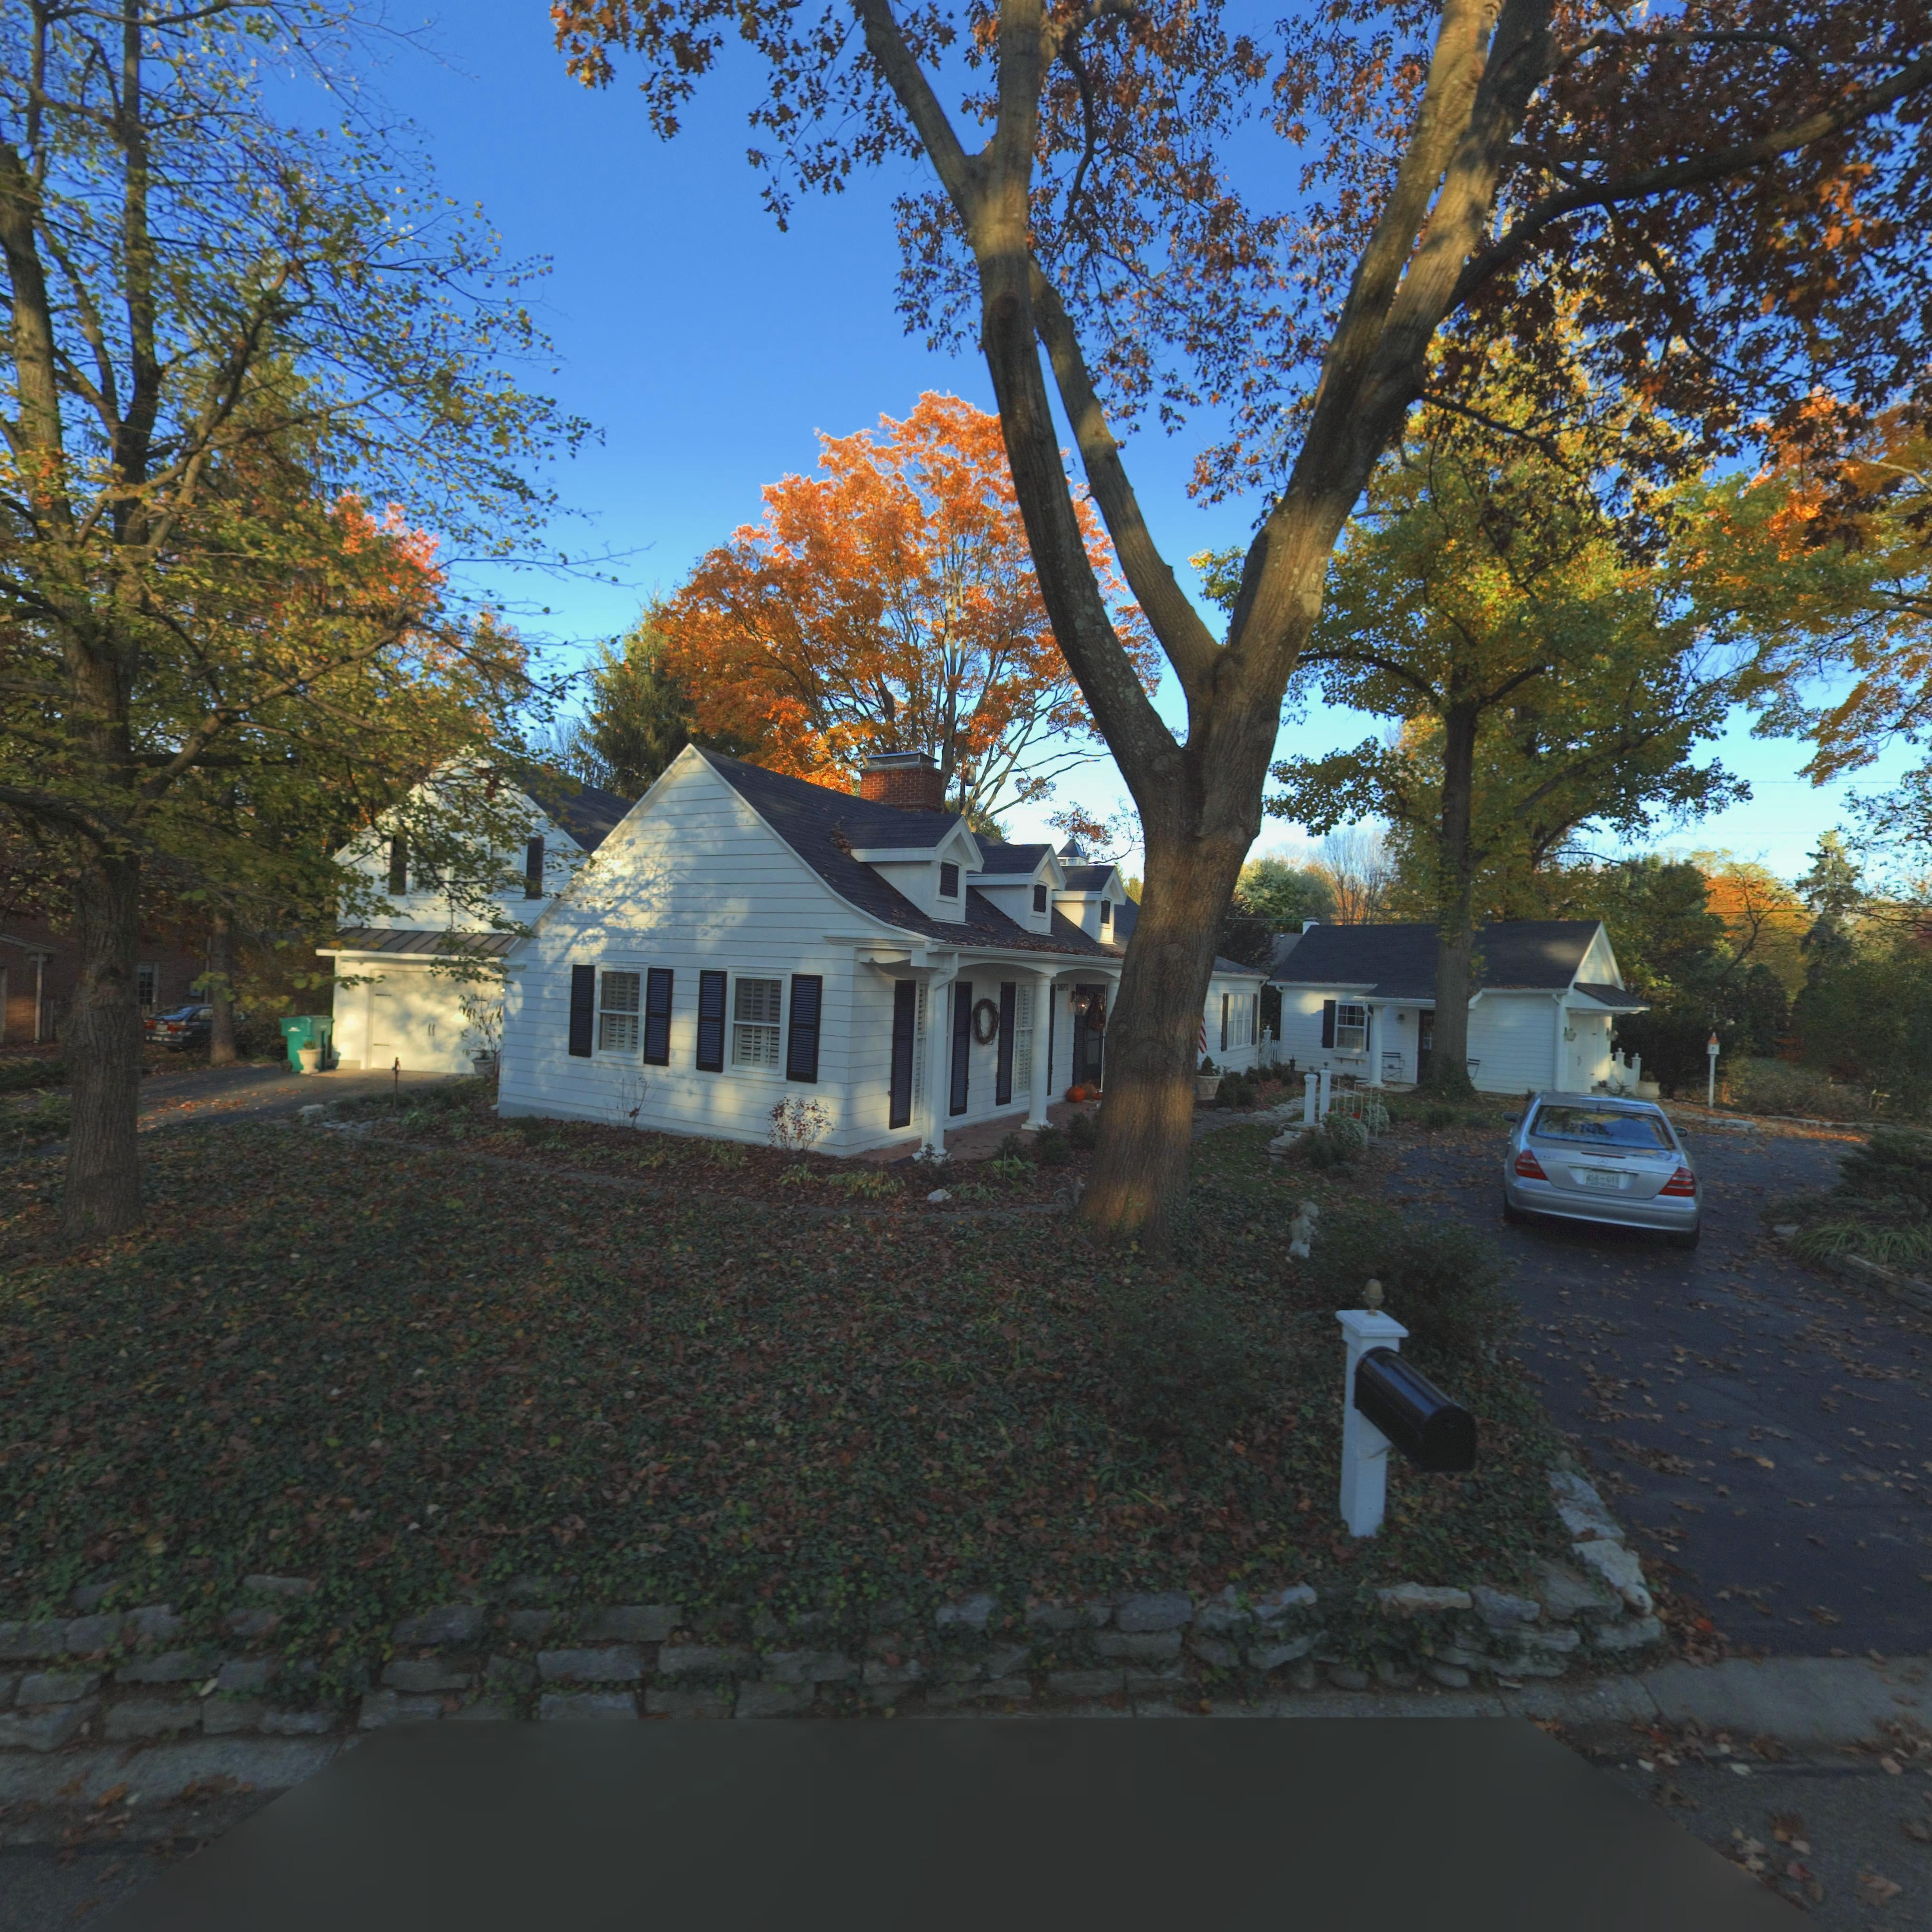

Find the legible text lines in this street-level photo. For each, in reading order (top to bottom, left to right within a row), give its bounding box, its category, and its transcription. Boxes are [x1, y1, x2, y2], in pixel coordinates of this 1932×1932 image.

[1056, 982, 1068, 991] StreetNumber: 3970